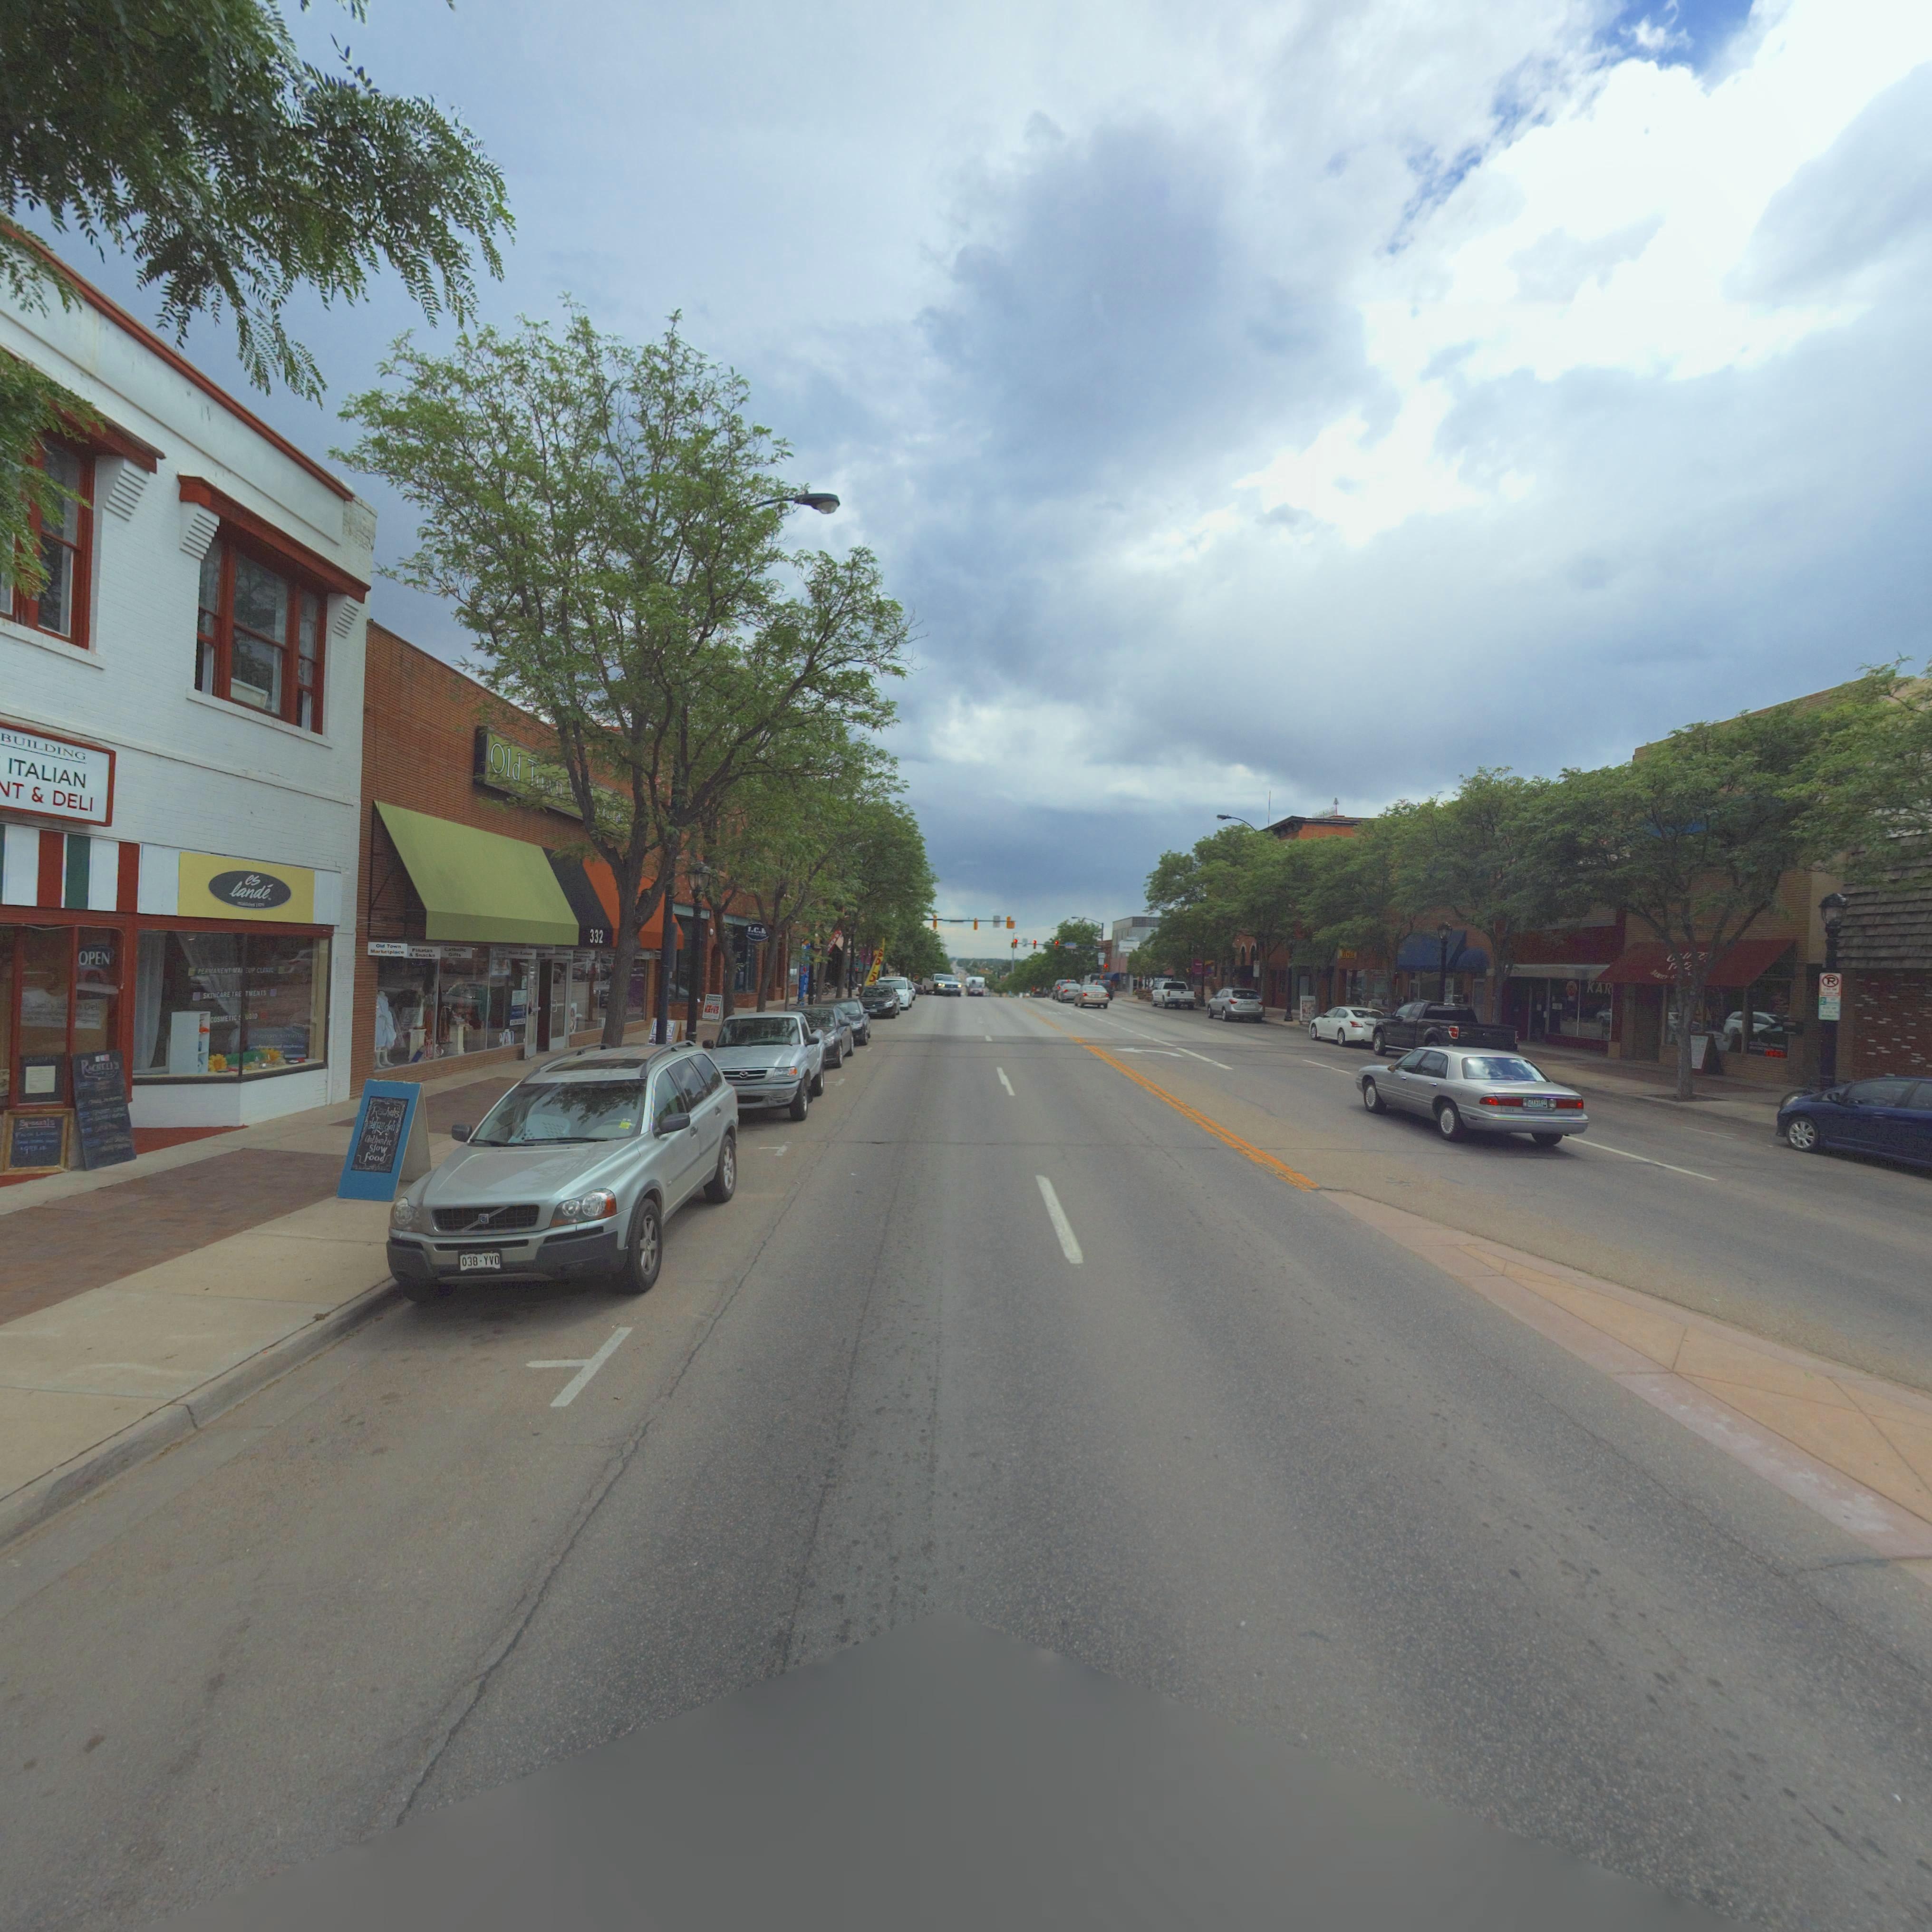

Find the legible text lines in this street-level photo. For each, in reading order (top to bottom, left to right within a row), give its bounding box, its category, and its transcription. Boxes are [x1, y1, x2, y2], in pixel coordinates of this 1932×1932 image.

[8, 757, 86, 789] BusinessName: ********* ITALIAN
[488, 741, 630, 828] BusinessName: Old Town *******la**
[244, 874, 261, 886] BusinessName: es
[228, 880, 274, 899] BusinessName: lande
[589, 928, 604, 944] StreetNumber: 332
[747, 926, 767, 934] BusinessName: I.C.E
[370, 949, 405, 955] BusinessName: Marketplace
[376, 943, 401, 948] BusinessName: Old Town
[1154, 977, 1172, 982] BusinessName: K****
[20, 999, 100, 1011] BusinessName: *******s******n Deli
[80, 1058, 120, 1075] BusinessName: R*CH**I'S
[370, 1105, 401, 1119] BusinessName: Racheli's
[367, 1116, 397, 1131] BusinessName: i*alian d*li